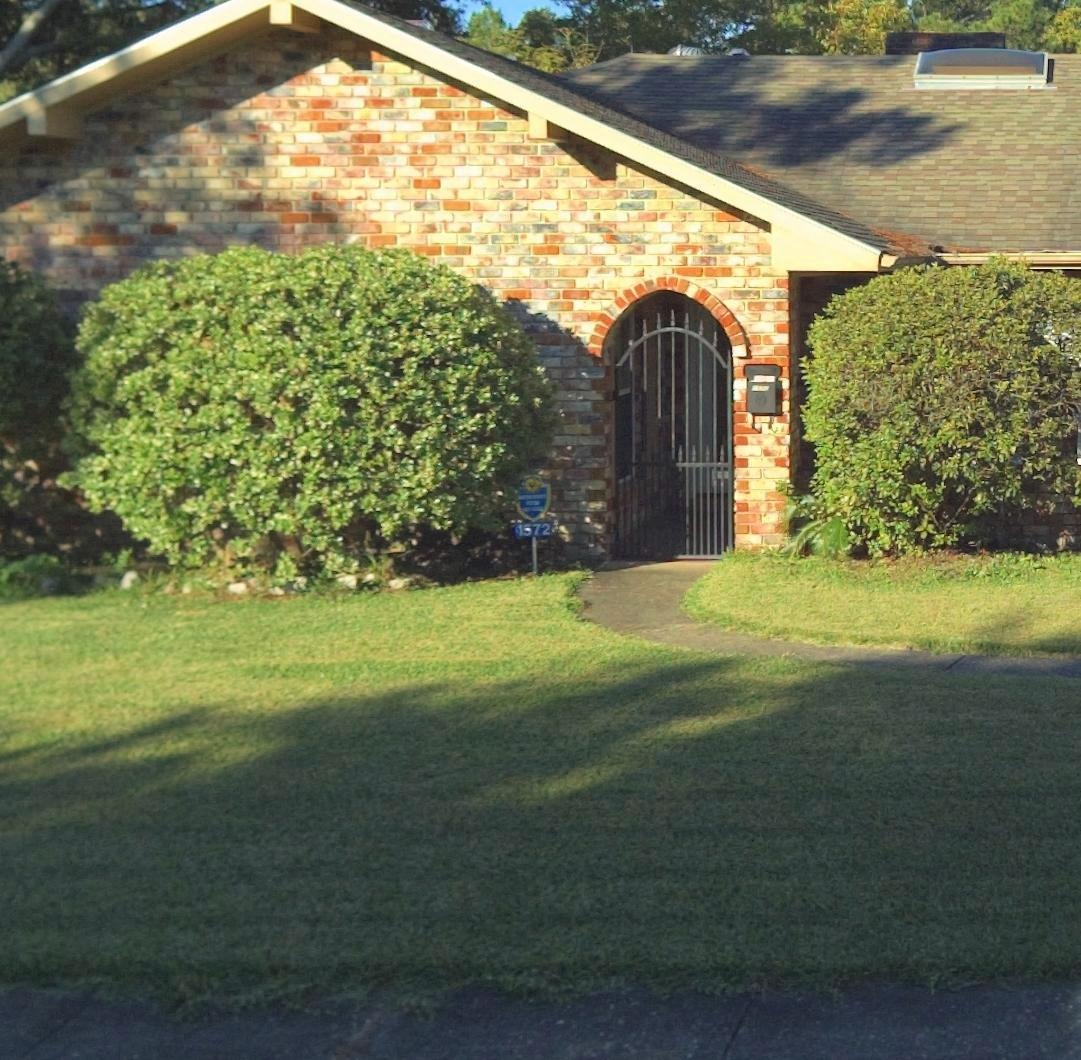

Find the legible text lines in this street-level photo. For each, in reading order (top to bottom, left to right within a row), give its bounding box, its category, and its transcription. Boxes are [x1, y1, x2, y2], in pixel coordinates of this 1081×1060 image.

[516, 522, 552, 538] StreetNumber: 1572